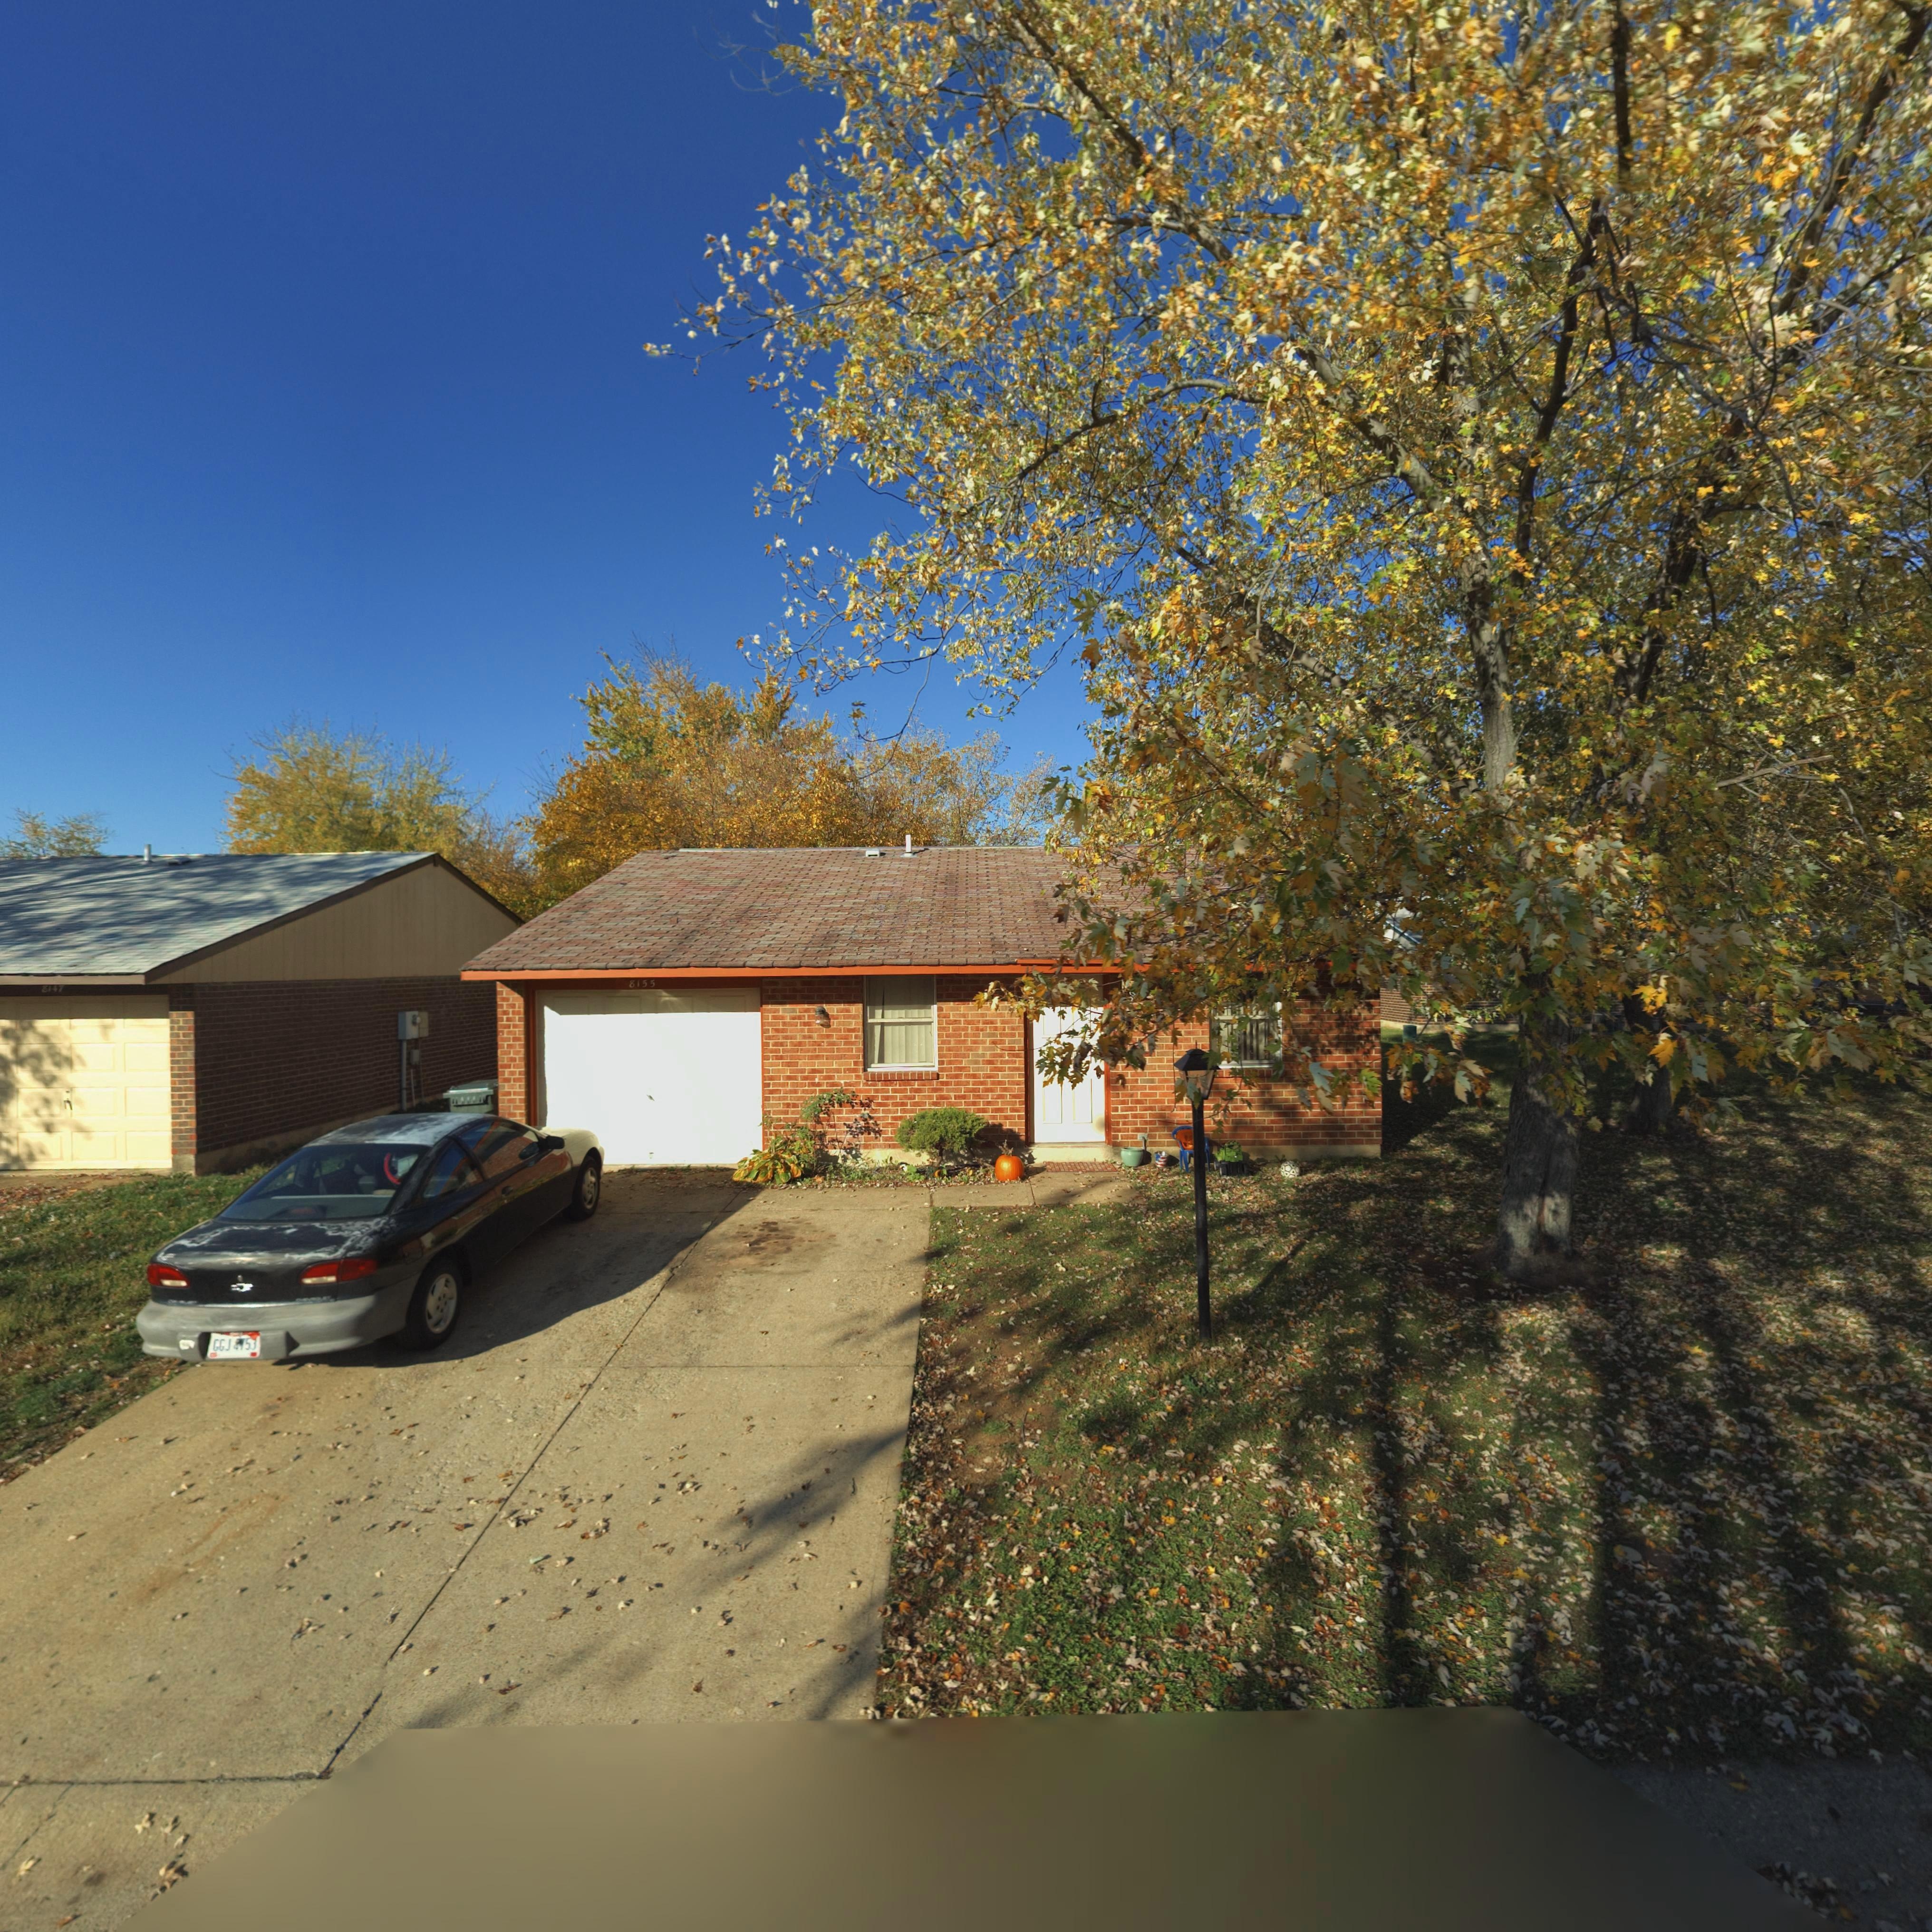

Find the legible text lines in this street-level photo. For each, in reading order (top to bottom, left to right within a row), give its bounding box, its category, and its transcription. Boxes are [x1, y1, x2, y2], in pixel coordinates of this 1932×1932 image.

[628, 978, 657, 989] StreetNumber: 8155